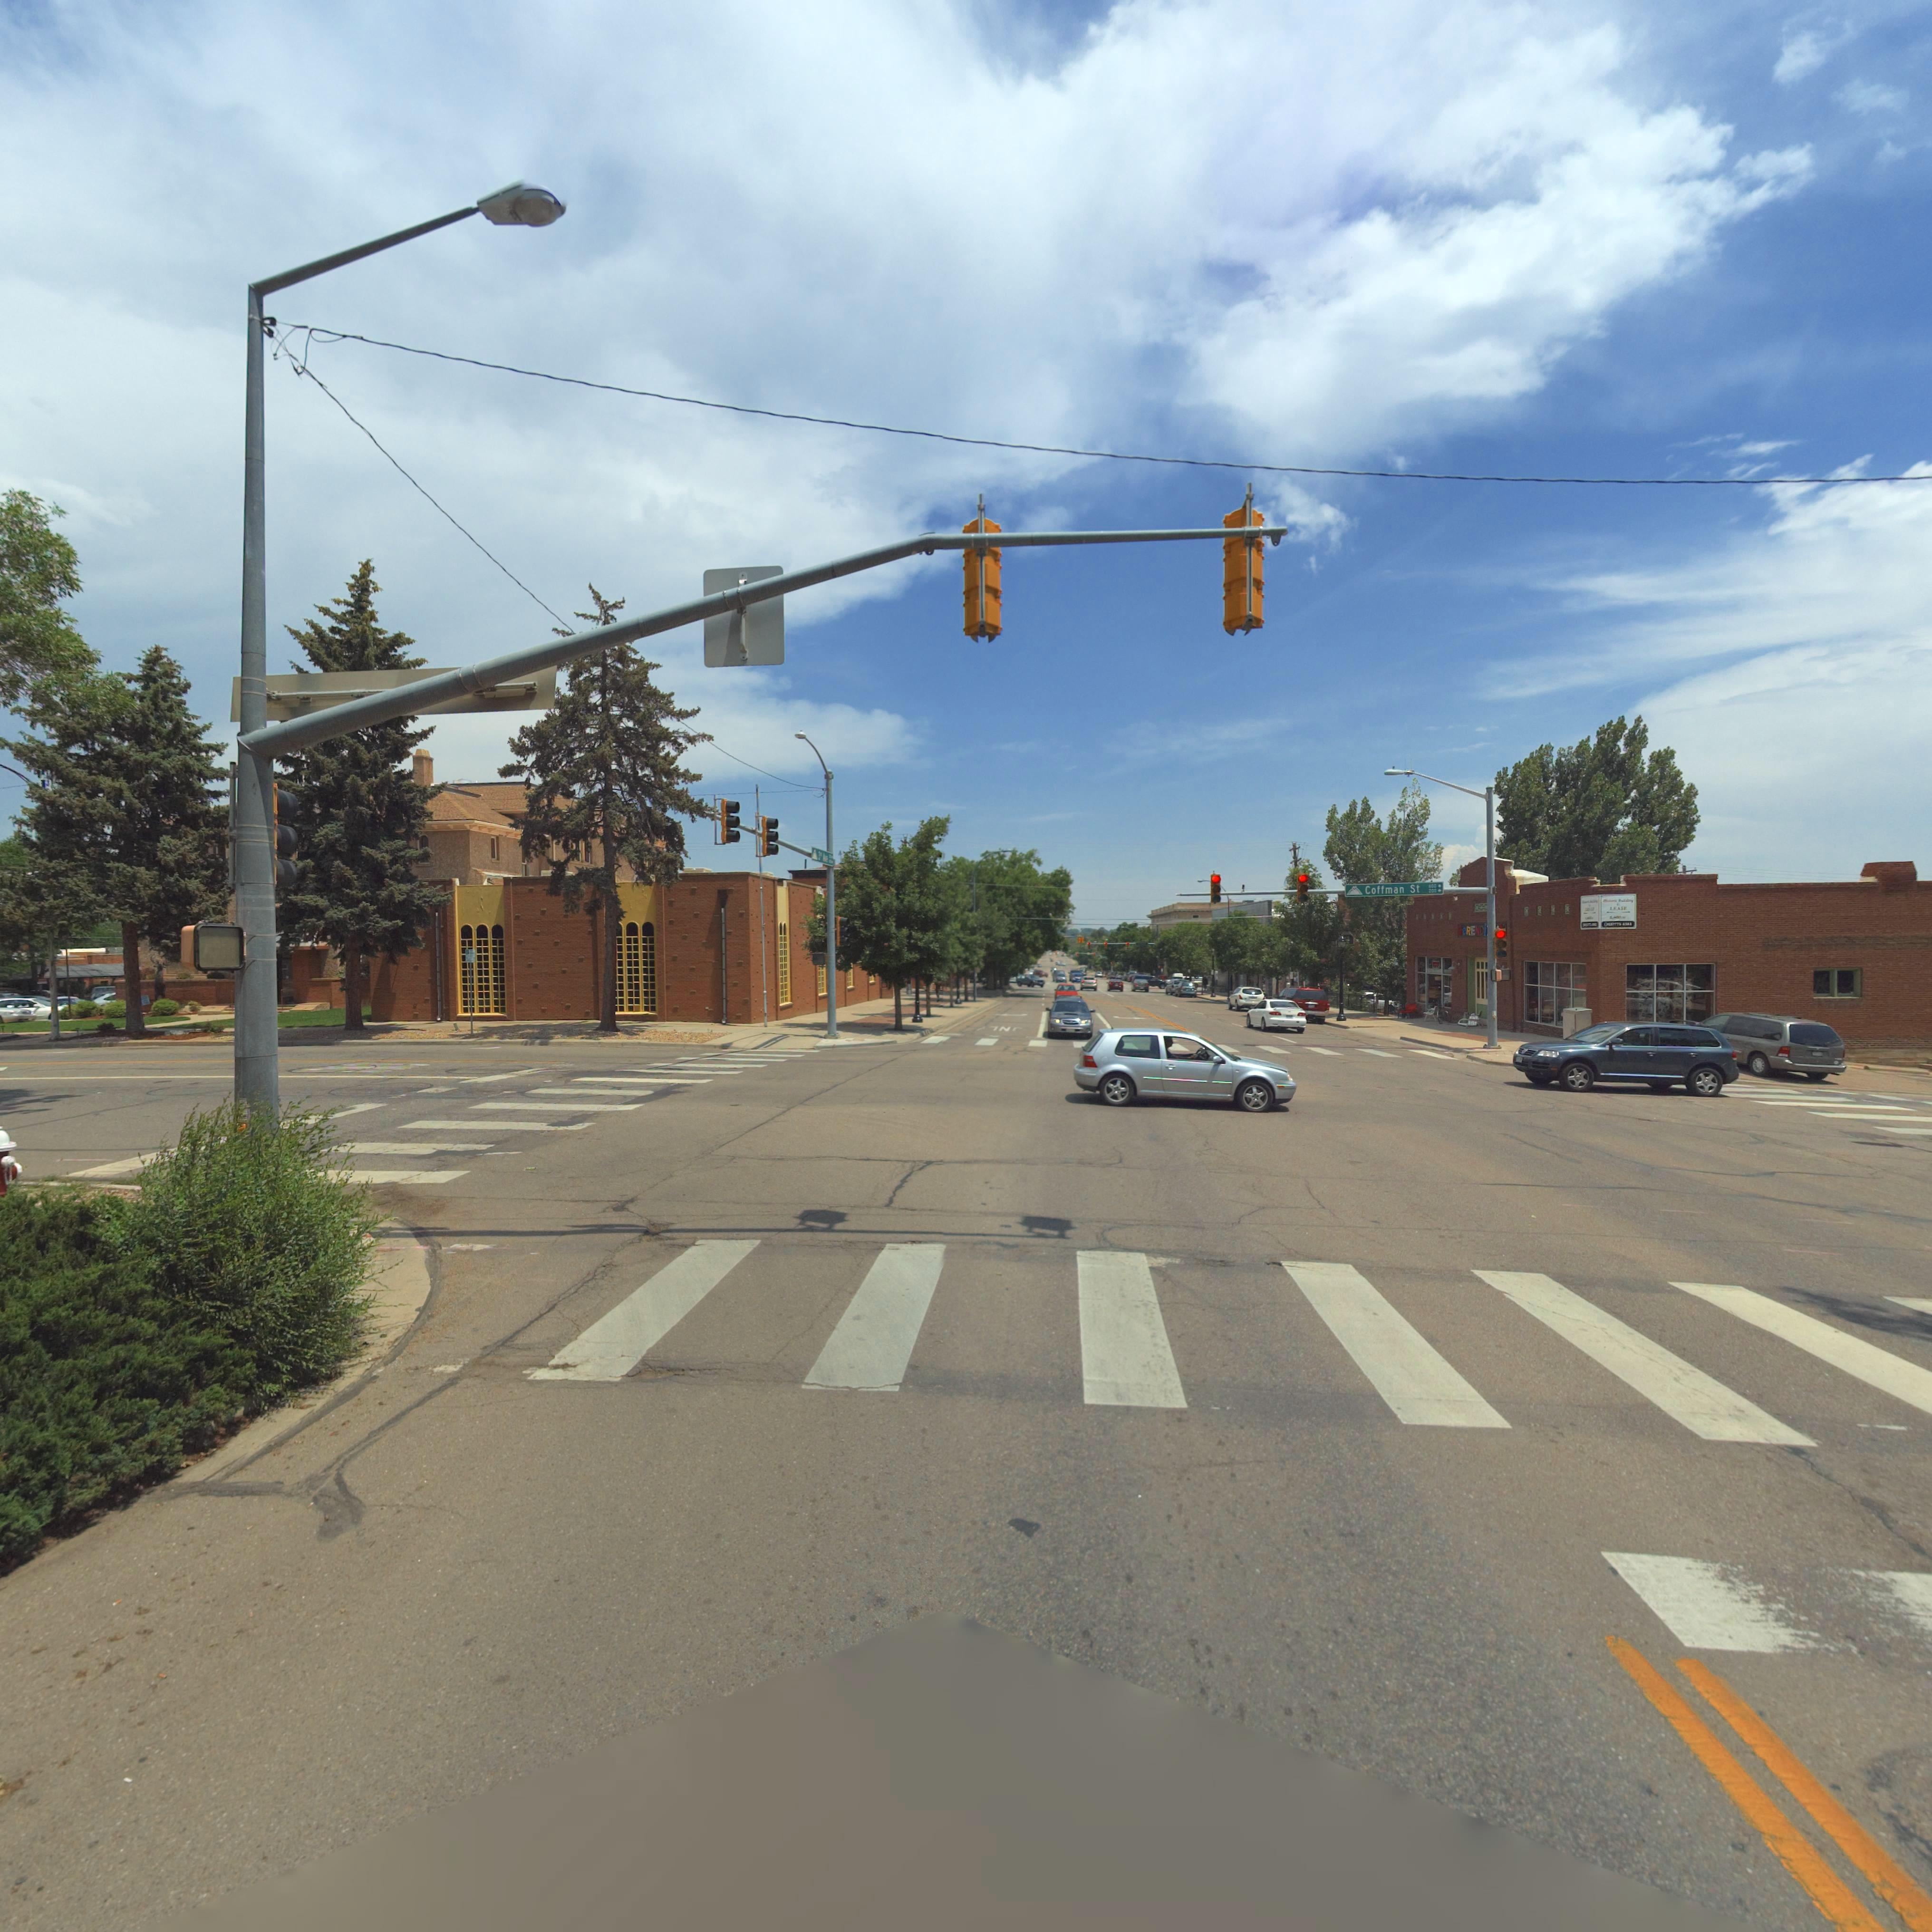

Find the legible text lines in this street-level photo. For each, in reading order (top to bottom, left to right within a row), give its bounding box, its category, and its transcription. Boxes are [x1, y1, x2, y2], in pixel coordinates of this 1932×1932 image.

[817, 850, 828, 863] StreetName: 3** A**
[1364, 884, 1420, 894] StreetName: Coffman St
[1428, 883, 1437, 888] StreetNumberRange: 600
[1428, 888, 1442, 893] StreetNumberRange: 200->
[1458, 923, 1487, 937] BusinessName: SeRENDi